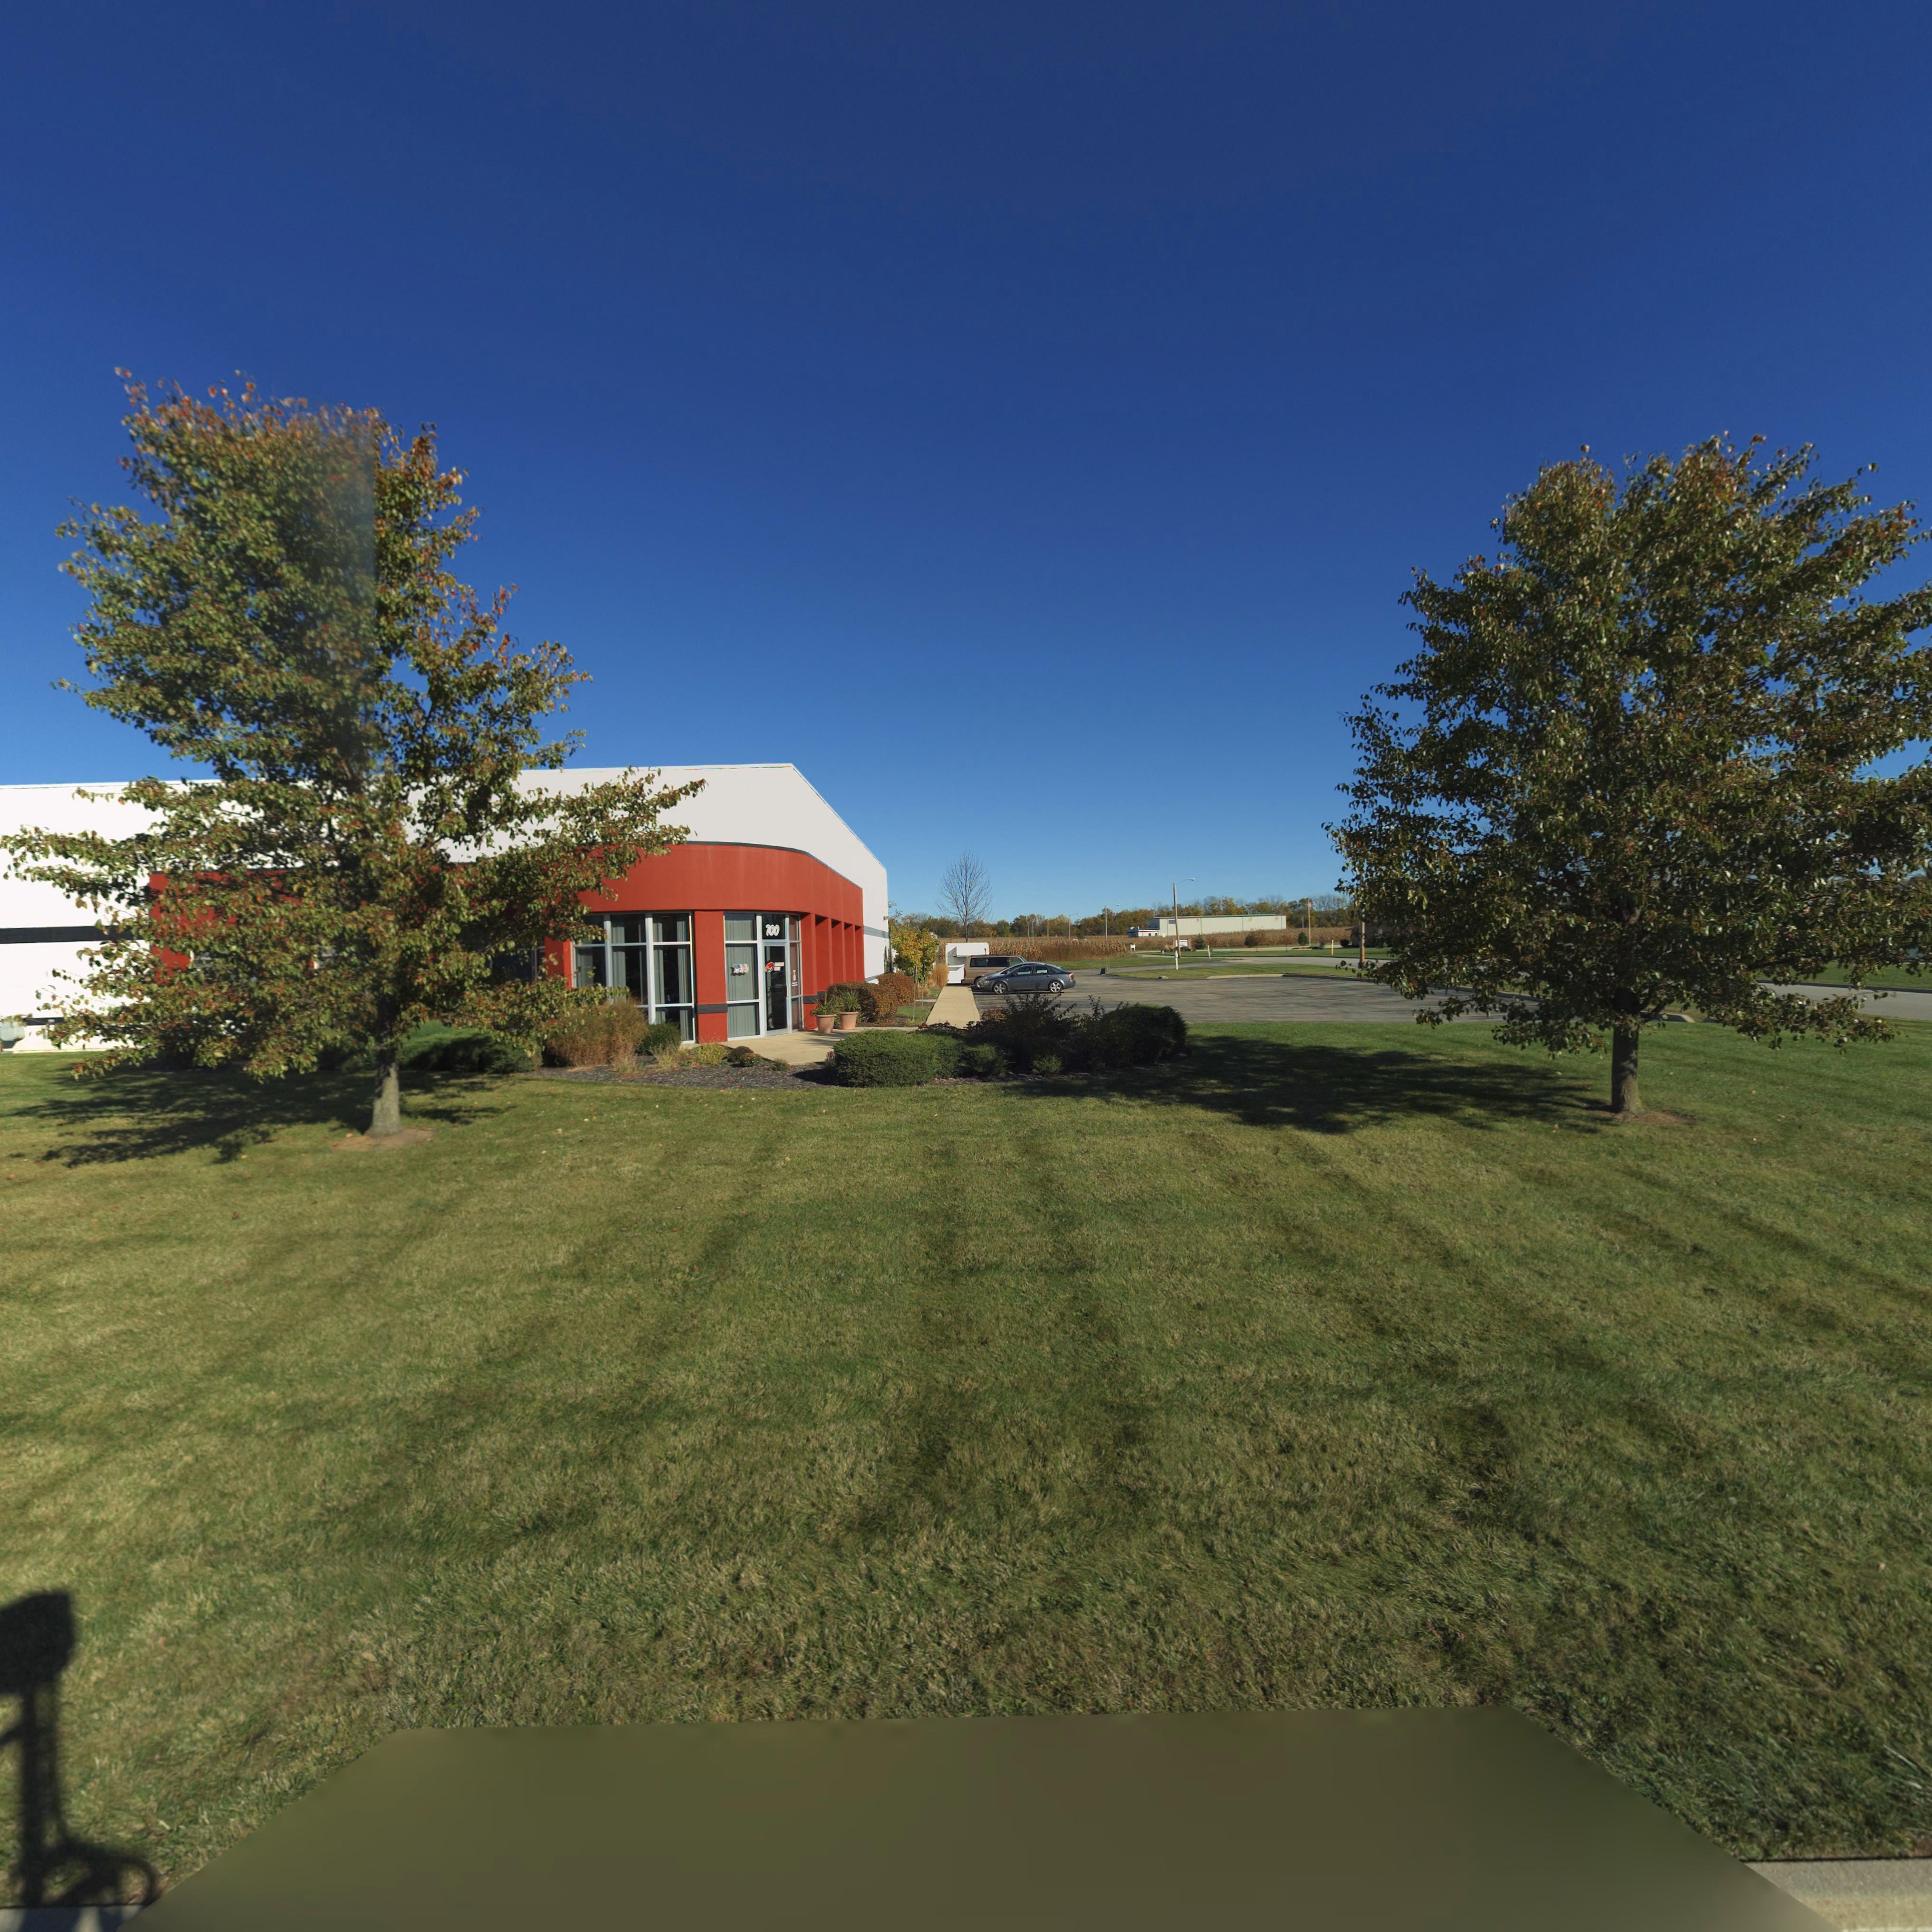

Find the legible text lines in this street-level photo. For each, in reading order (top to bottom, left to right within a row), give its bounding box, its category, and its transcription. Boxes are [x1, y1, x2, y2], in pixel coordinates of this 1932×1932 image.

[765, 923, 780, 937] StreetNumber: 700
[731, 963, 750, 974] StreetNumber: 700